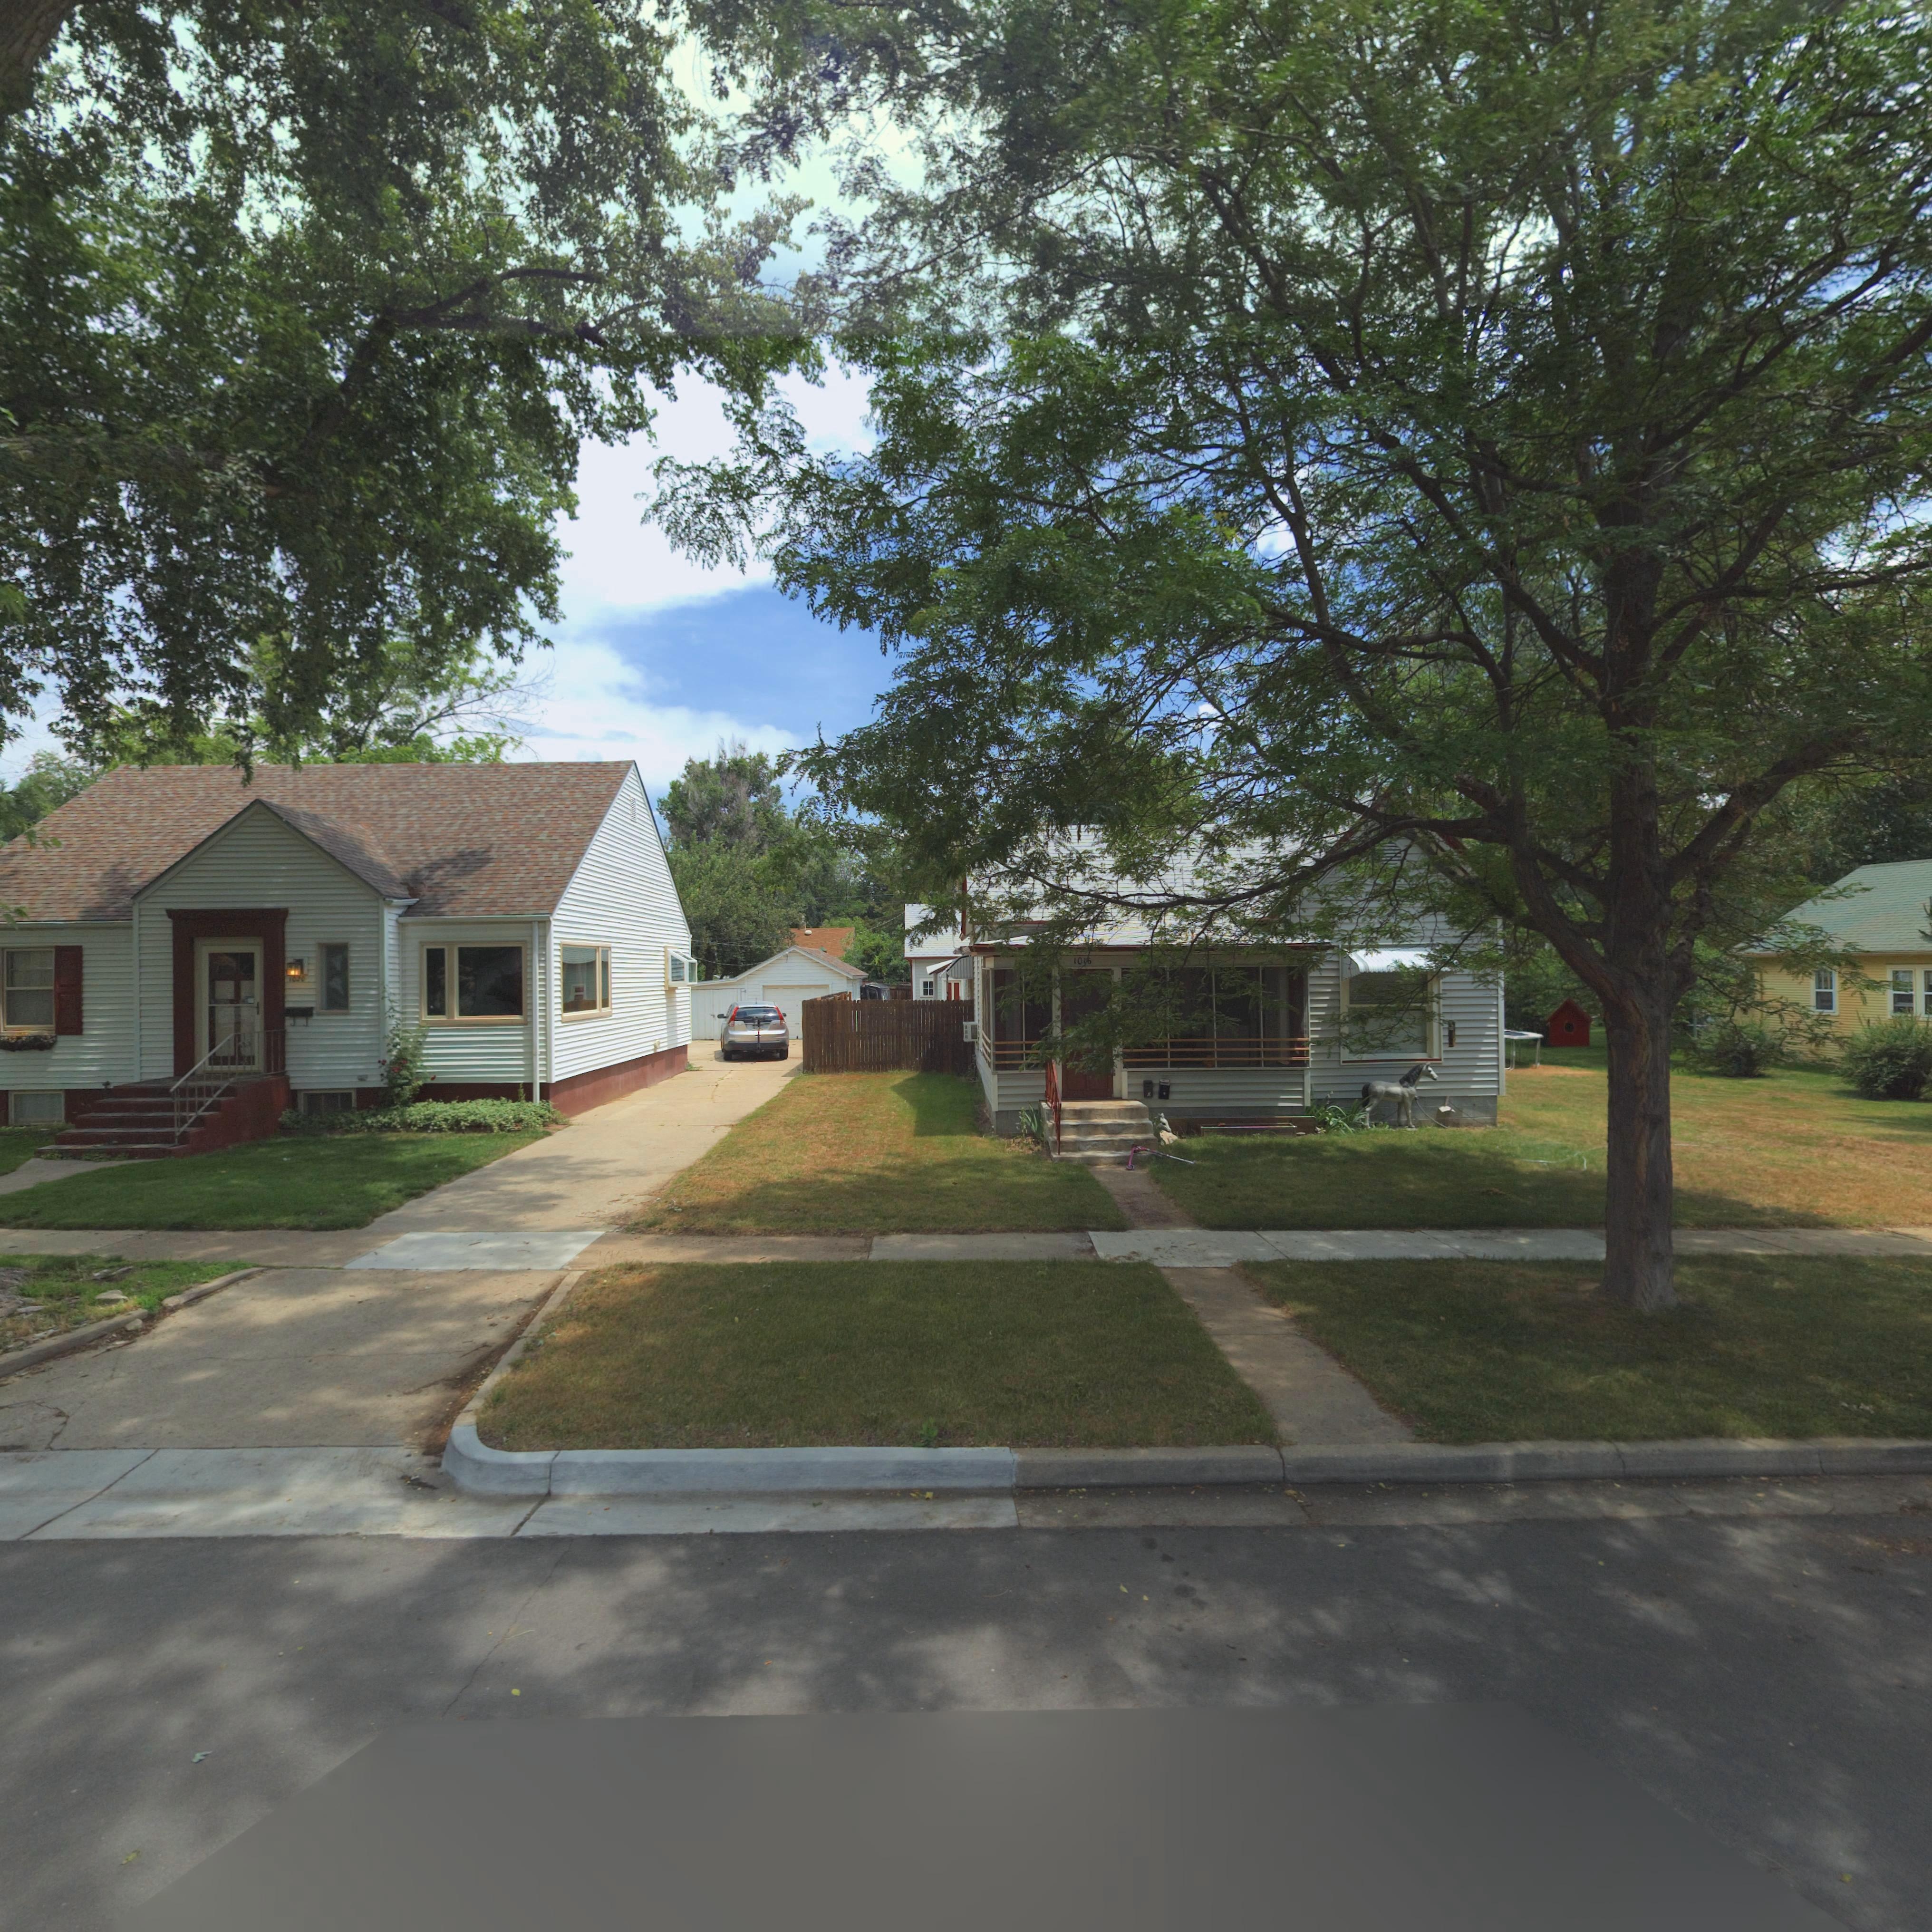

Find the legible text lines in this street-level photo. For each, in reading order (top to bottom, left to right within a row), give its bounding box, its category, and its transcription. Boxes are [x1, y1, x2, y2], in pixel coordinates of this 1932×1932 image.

[1074, 956, 1092, 965] StreetNumber: 10*6
[288, 975, 307, 983] StreetNumber: 1020